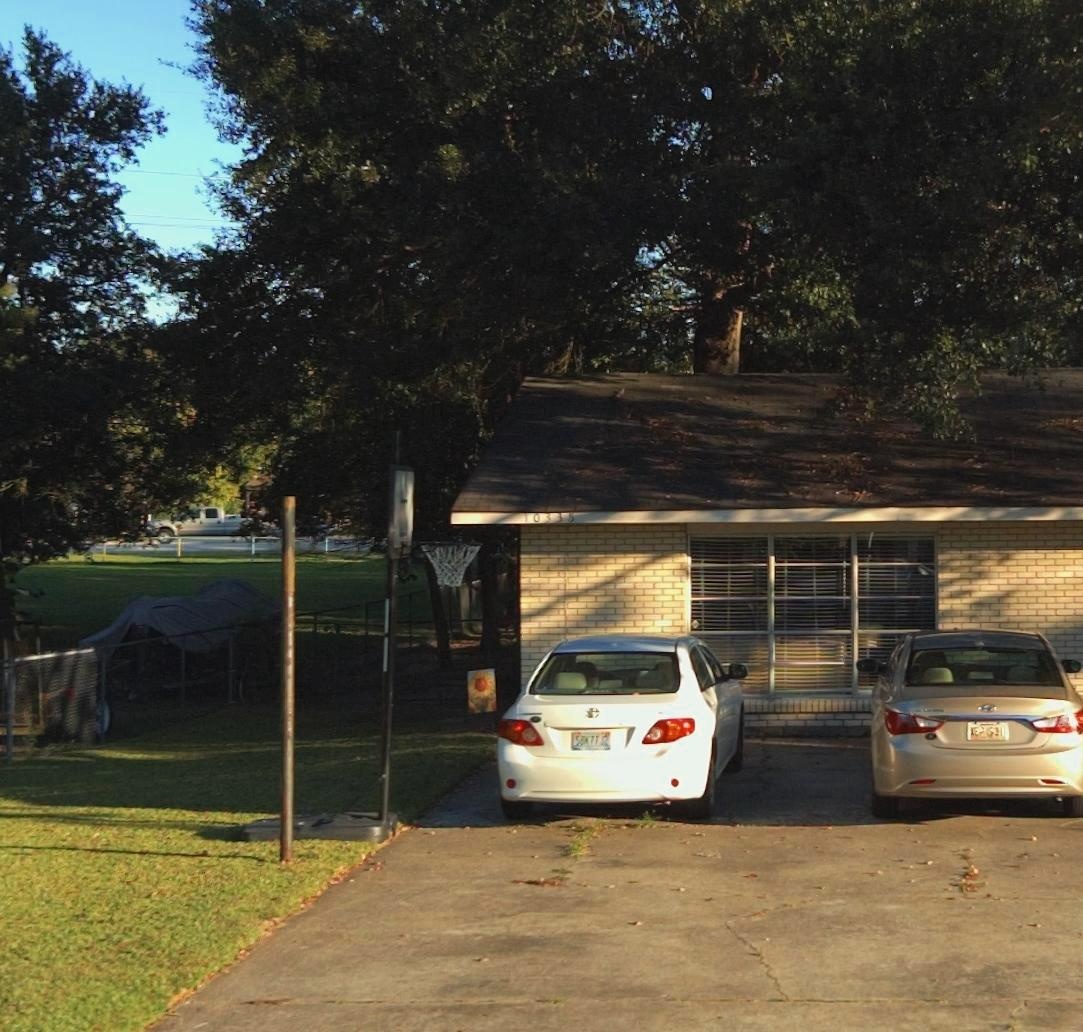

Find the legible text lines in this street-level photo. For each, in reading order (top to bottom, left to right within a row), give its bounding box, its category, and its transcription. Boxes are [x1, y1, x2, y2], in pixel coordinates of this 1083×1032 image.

[522, 511, 576, 525] StreetNumber: 10335